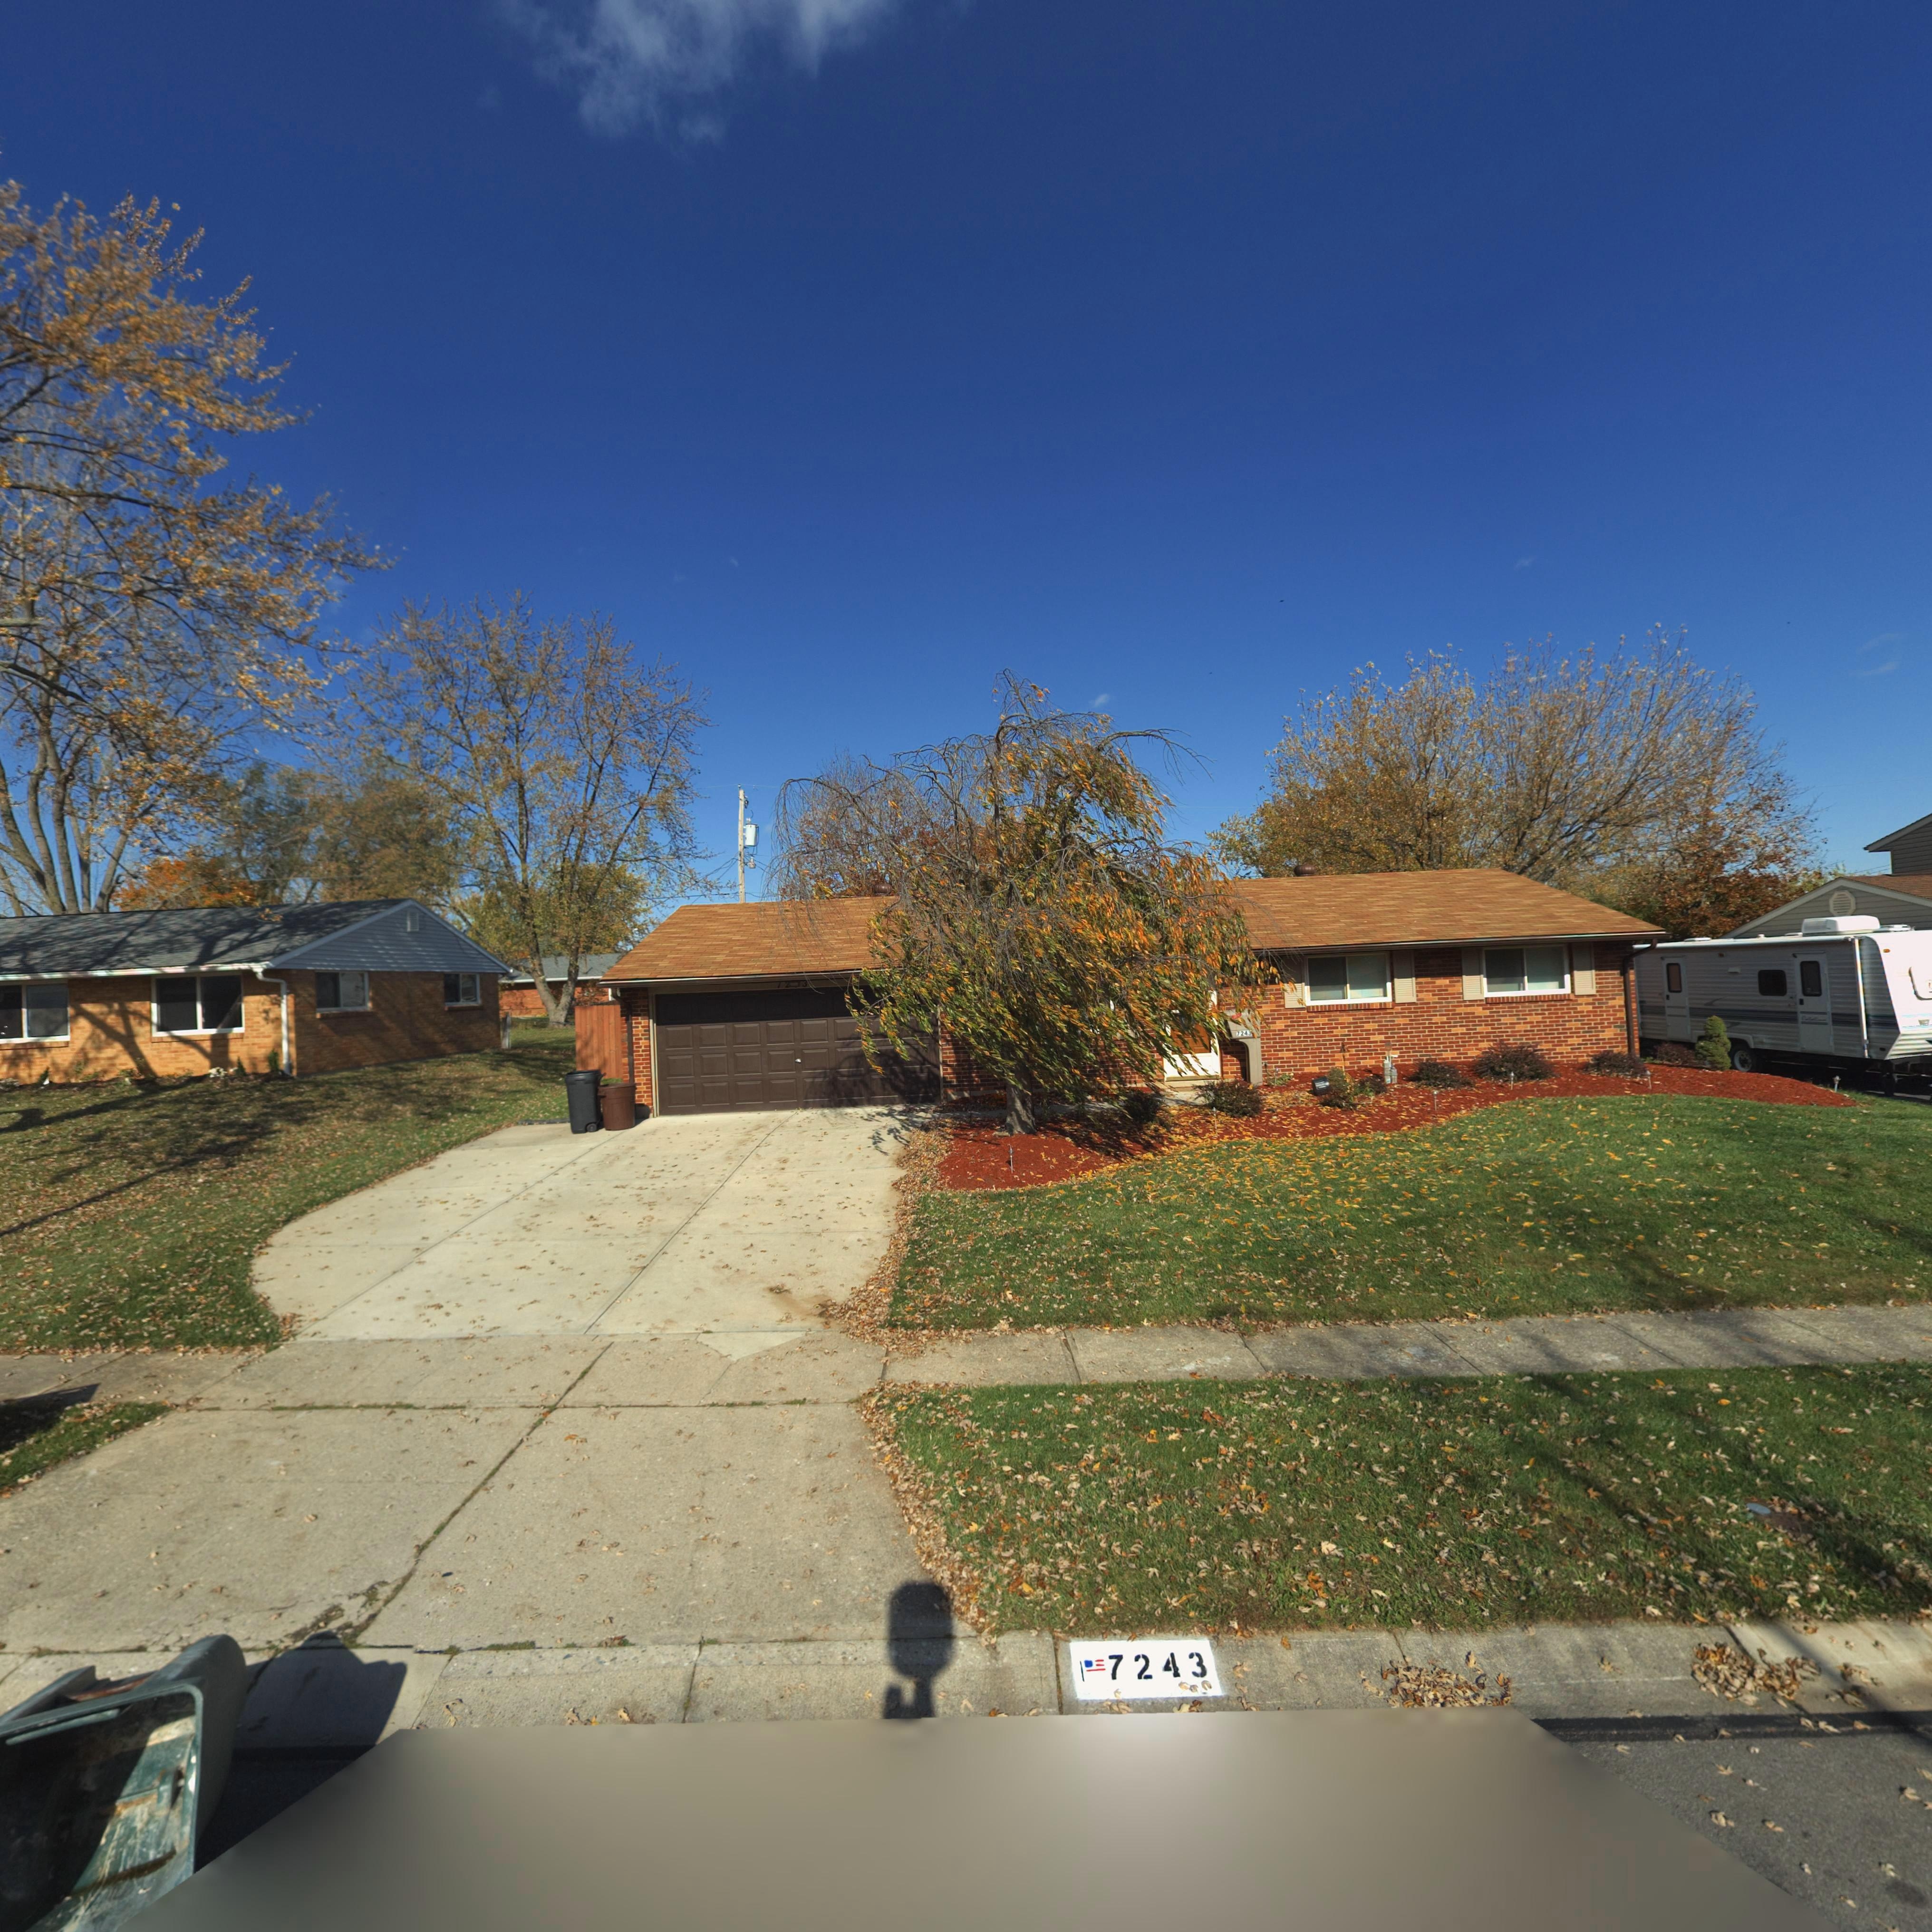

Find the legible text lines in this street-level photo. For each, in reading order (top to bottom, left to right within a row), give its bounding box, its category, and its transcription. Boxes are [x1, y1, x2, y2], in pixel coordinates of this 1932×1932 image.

[1236, 1029, 1252, 1037] StreetNumber: 7243
[1107, 1649, 1209, 1682] StreetNumber: 7243